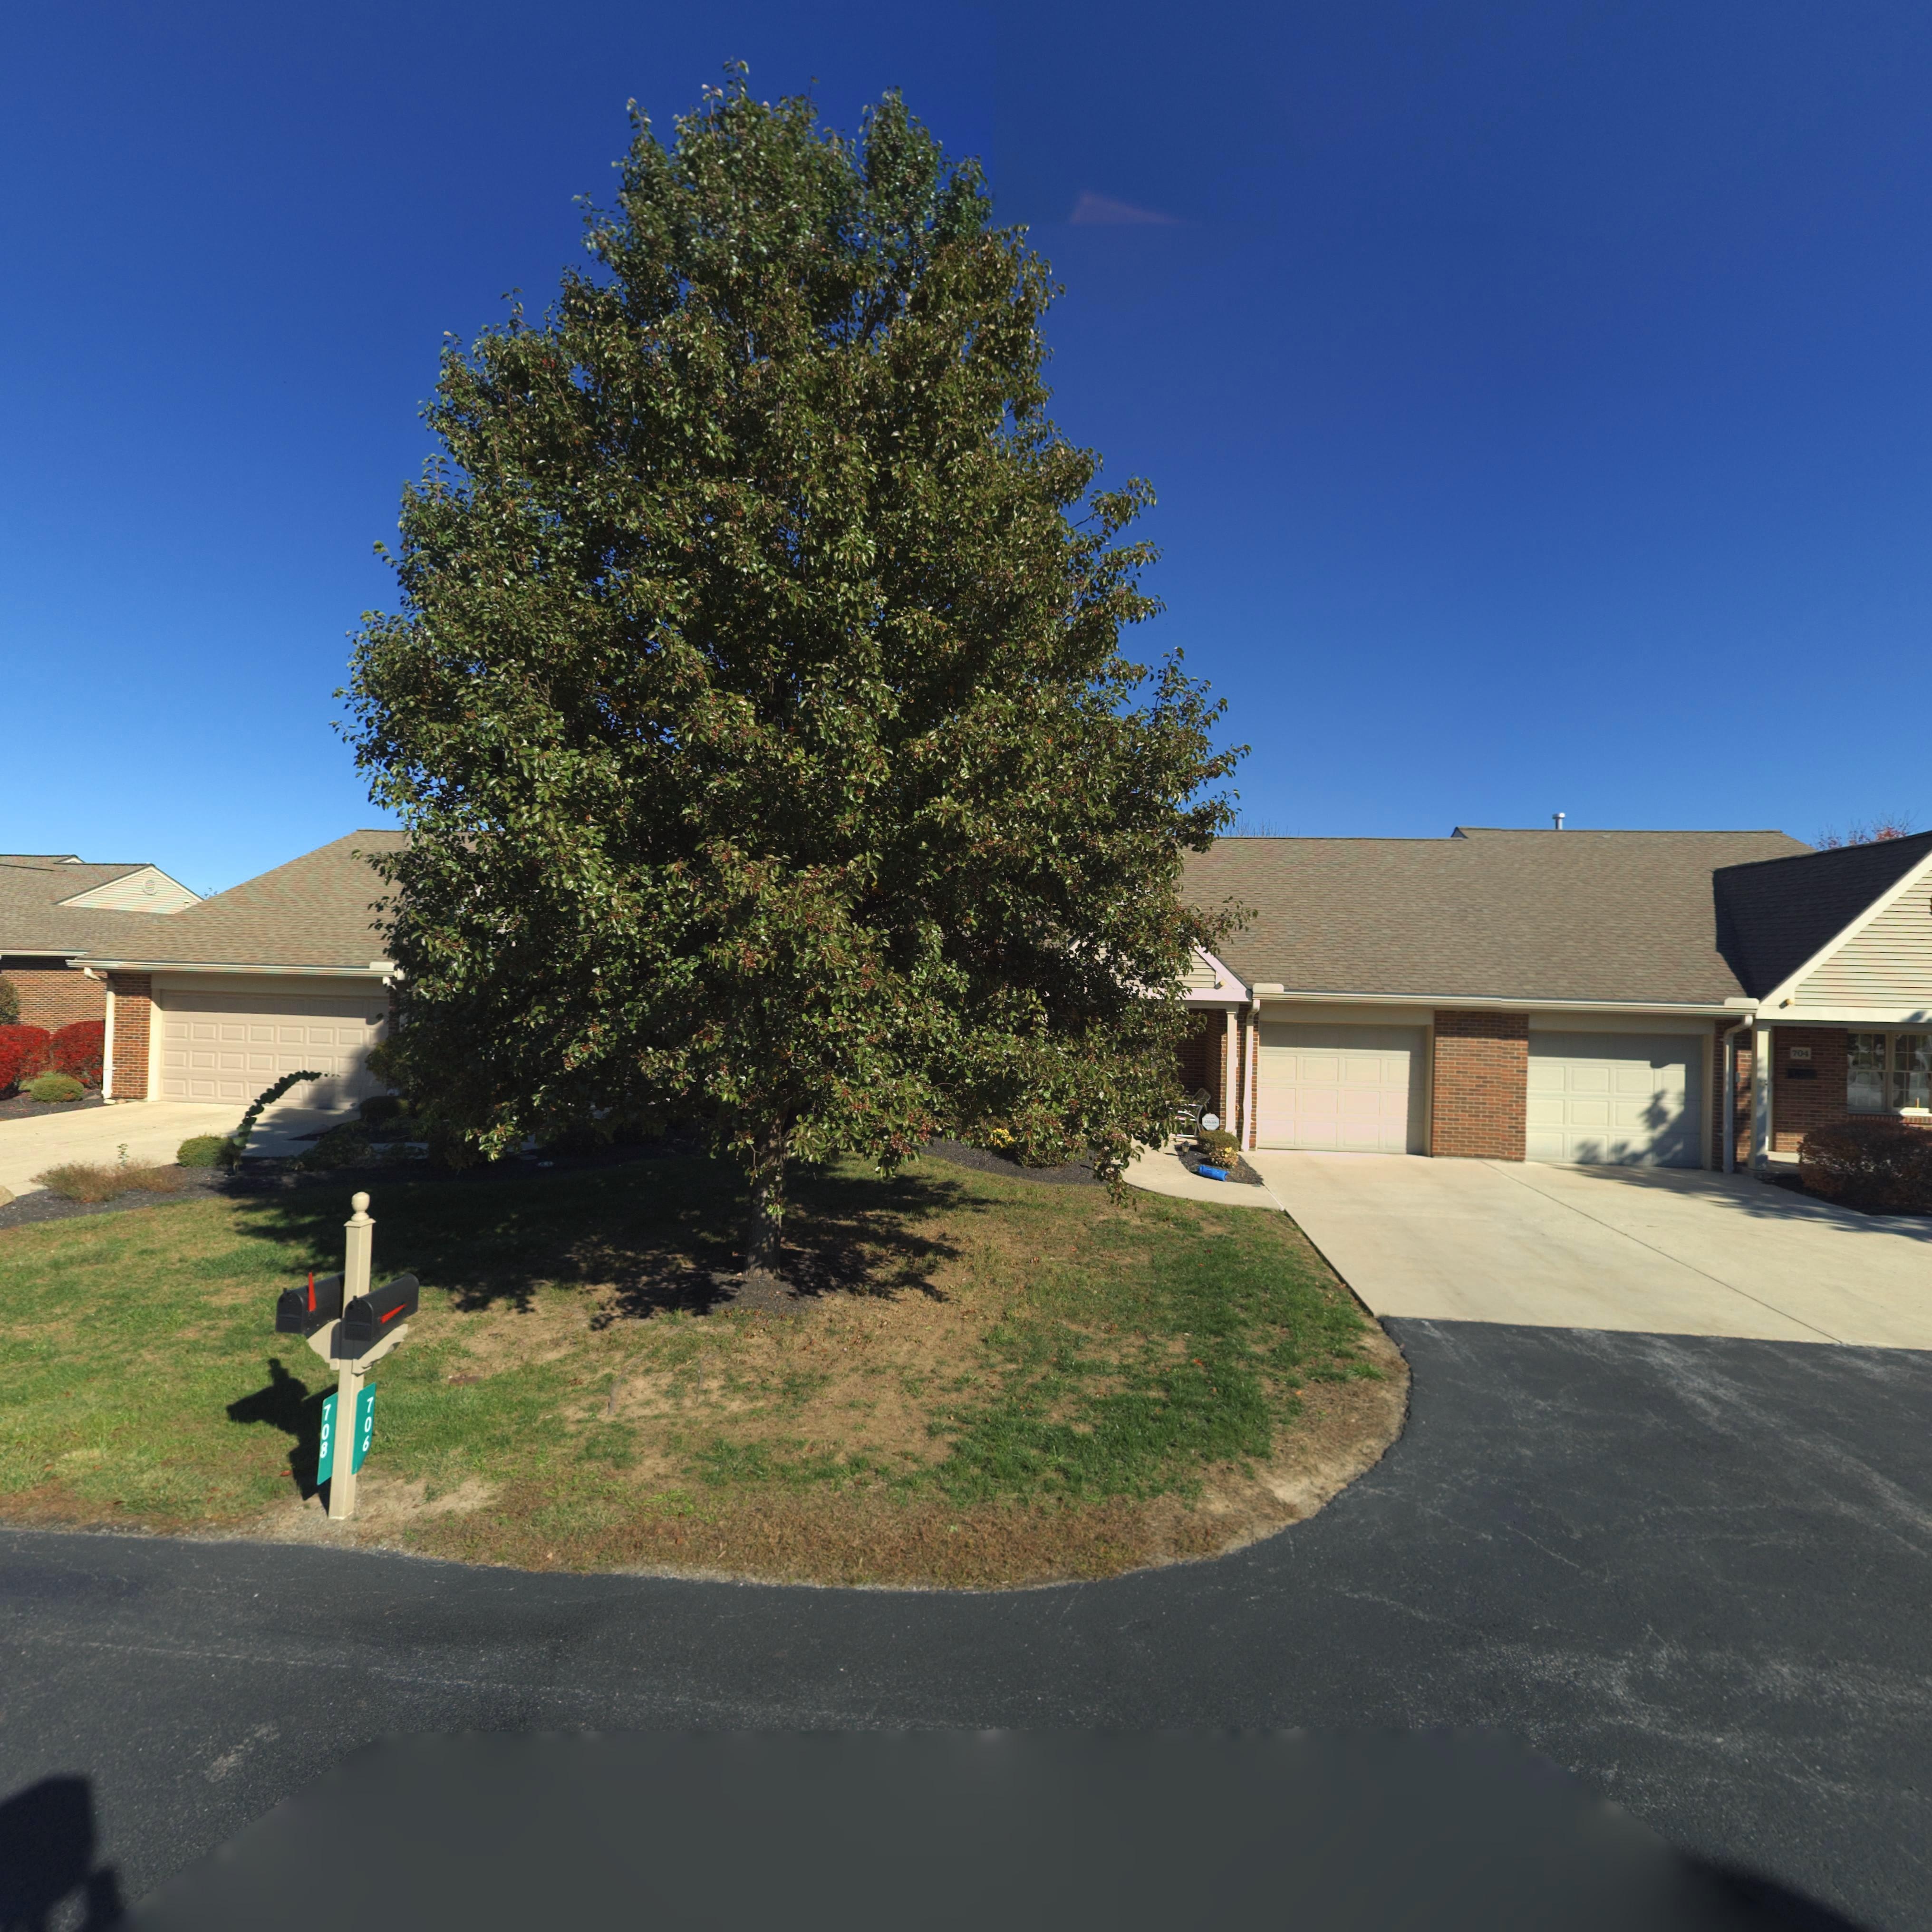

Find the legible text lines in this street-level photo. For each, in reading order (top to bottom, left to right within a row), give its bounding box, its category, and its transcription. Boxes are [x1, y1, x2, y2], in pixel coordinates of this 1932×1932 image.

[1791, 1049, 1809, 1057] StreetNumber: 704
[319, 1402, 332, 1459] StreetNumber: 708
[361, 1395, 374, 1453] StreetNumber: 706